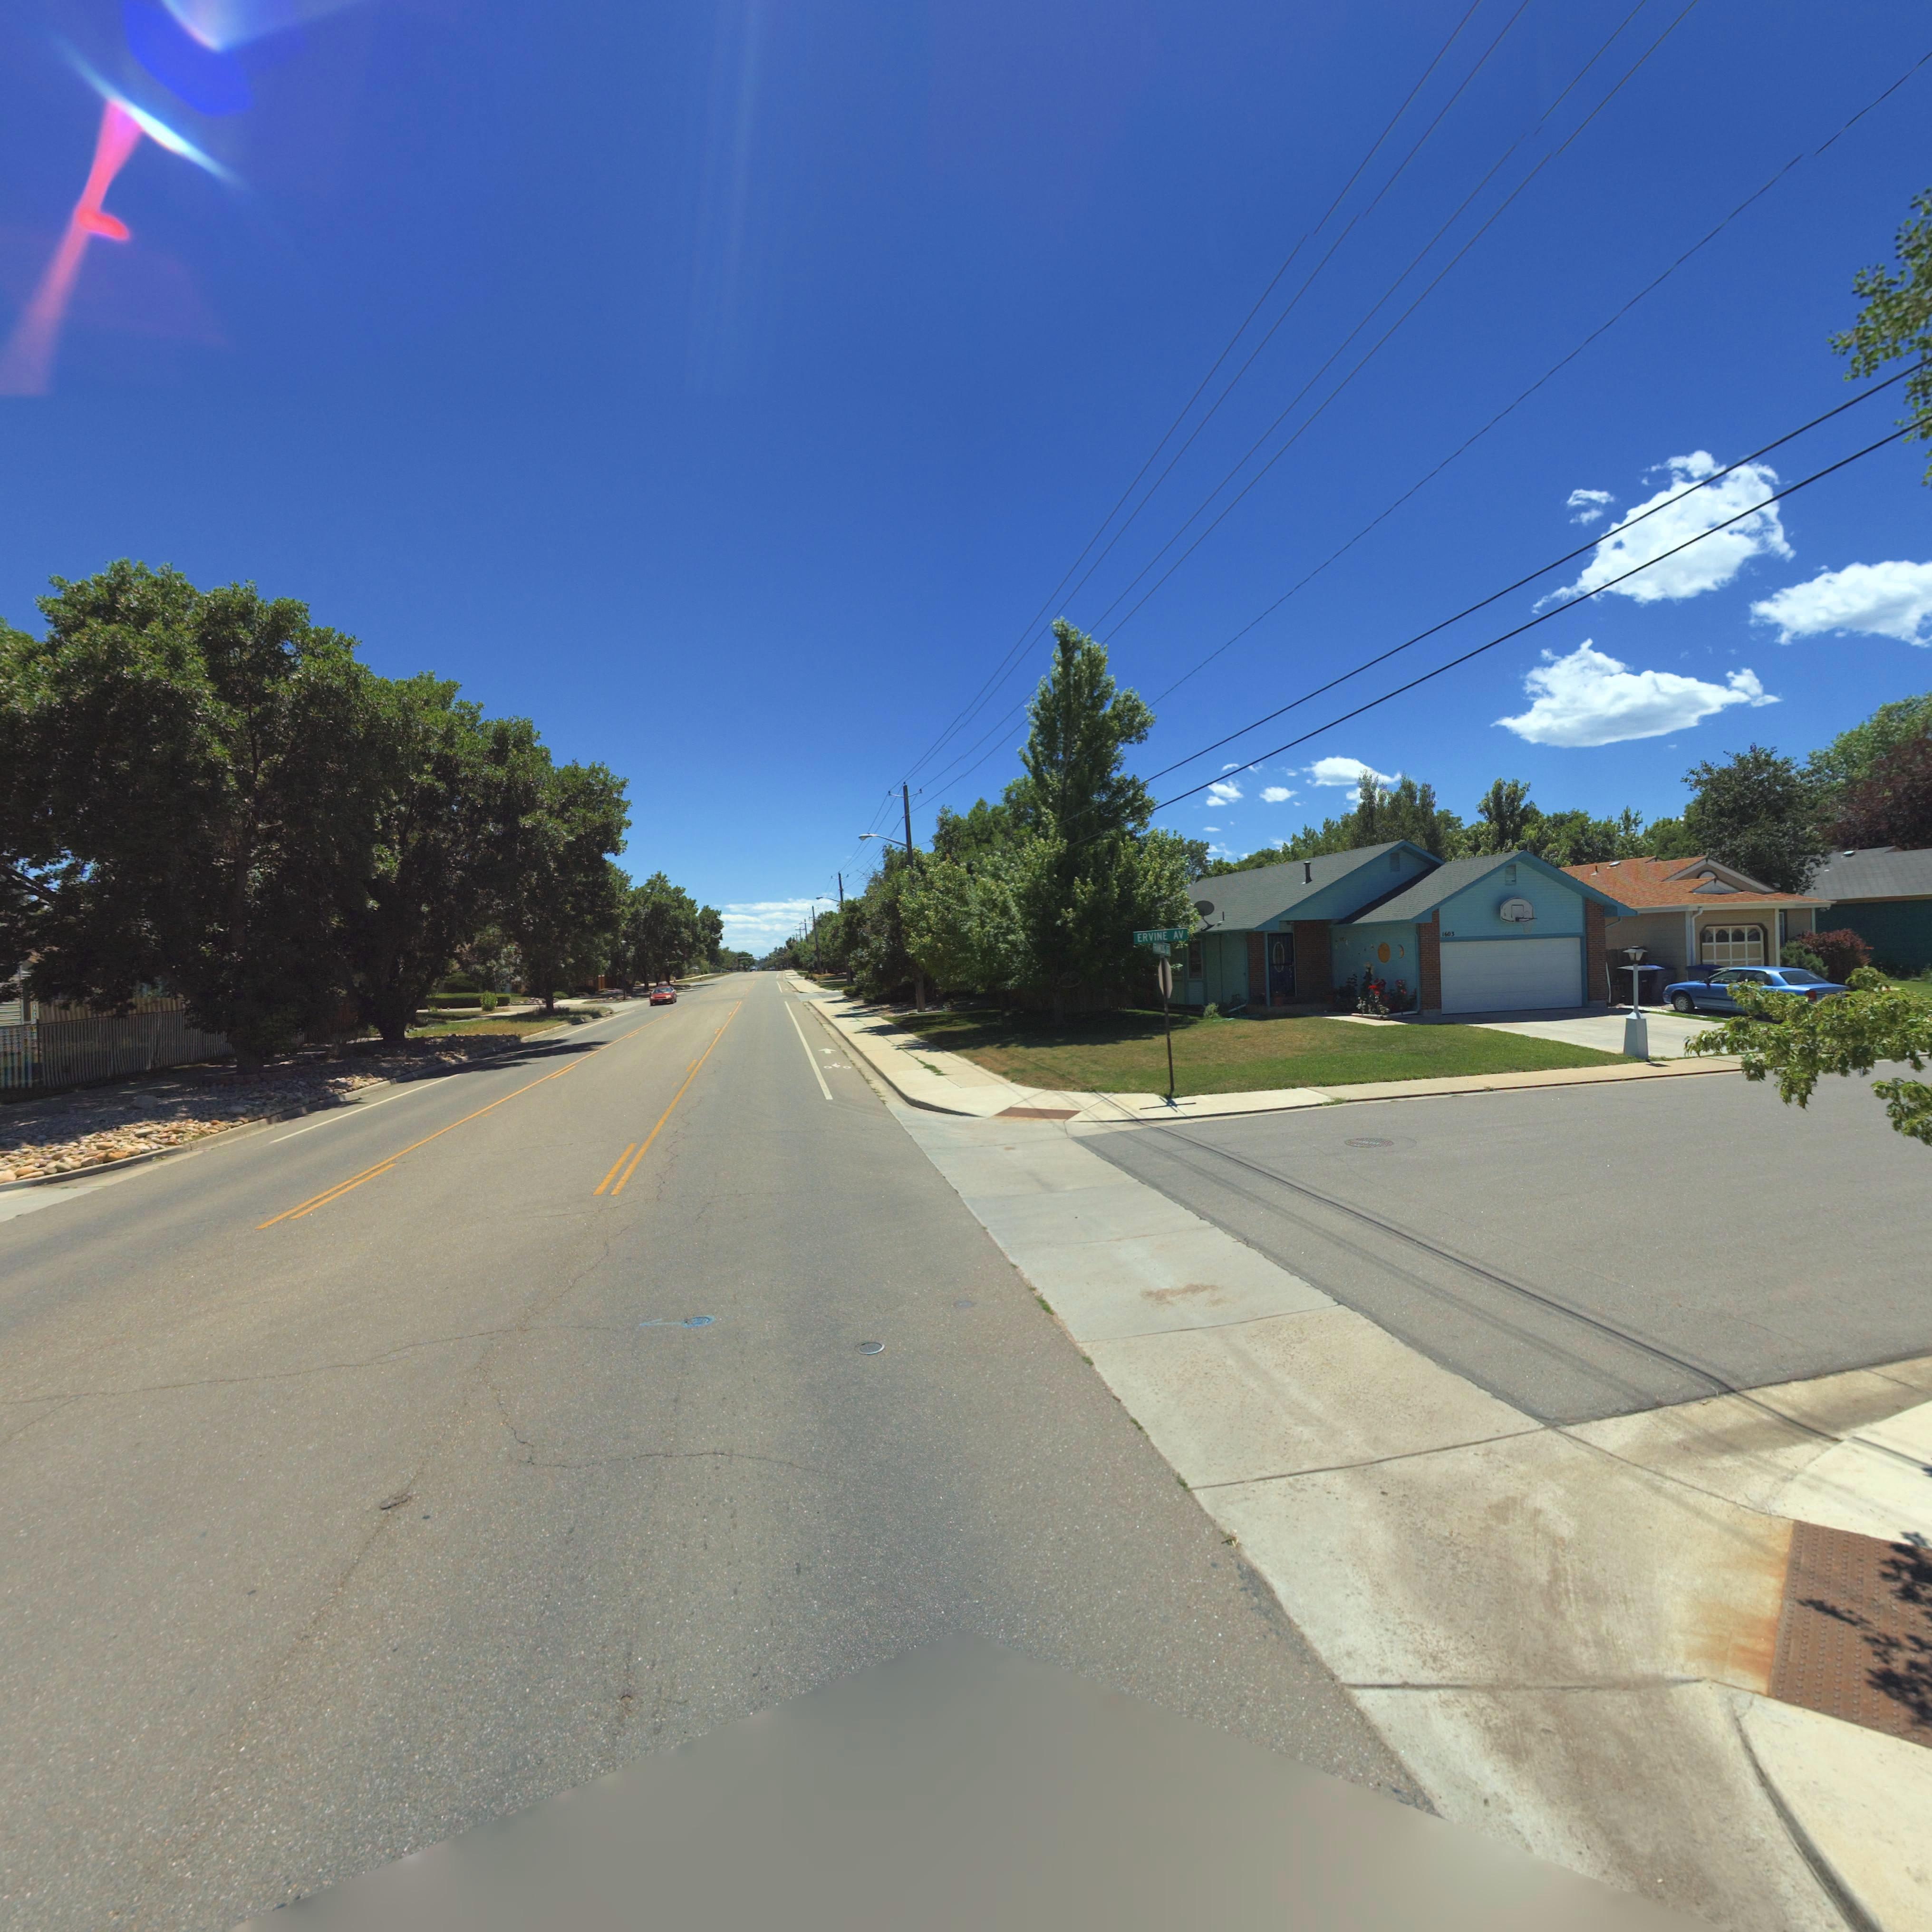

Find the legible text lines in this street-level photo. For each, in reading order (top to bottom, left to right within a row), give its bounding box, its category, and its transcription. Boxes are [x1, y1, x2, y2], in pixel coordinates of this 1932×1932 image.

[1136, 929, 1185, 943] StreetName: ERVINE AV
[1442, 931, 1455, 937] StreetNumber: 1603
[1153, 943, 1171, 955] StreetName: FRANCIS ST